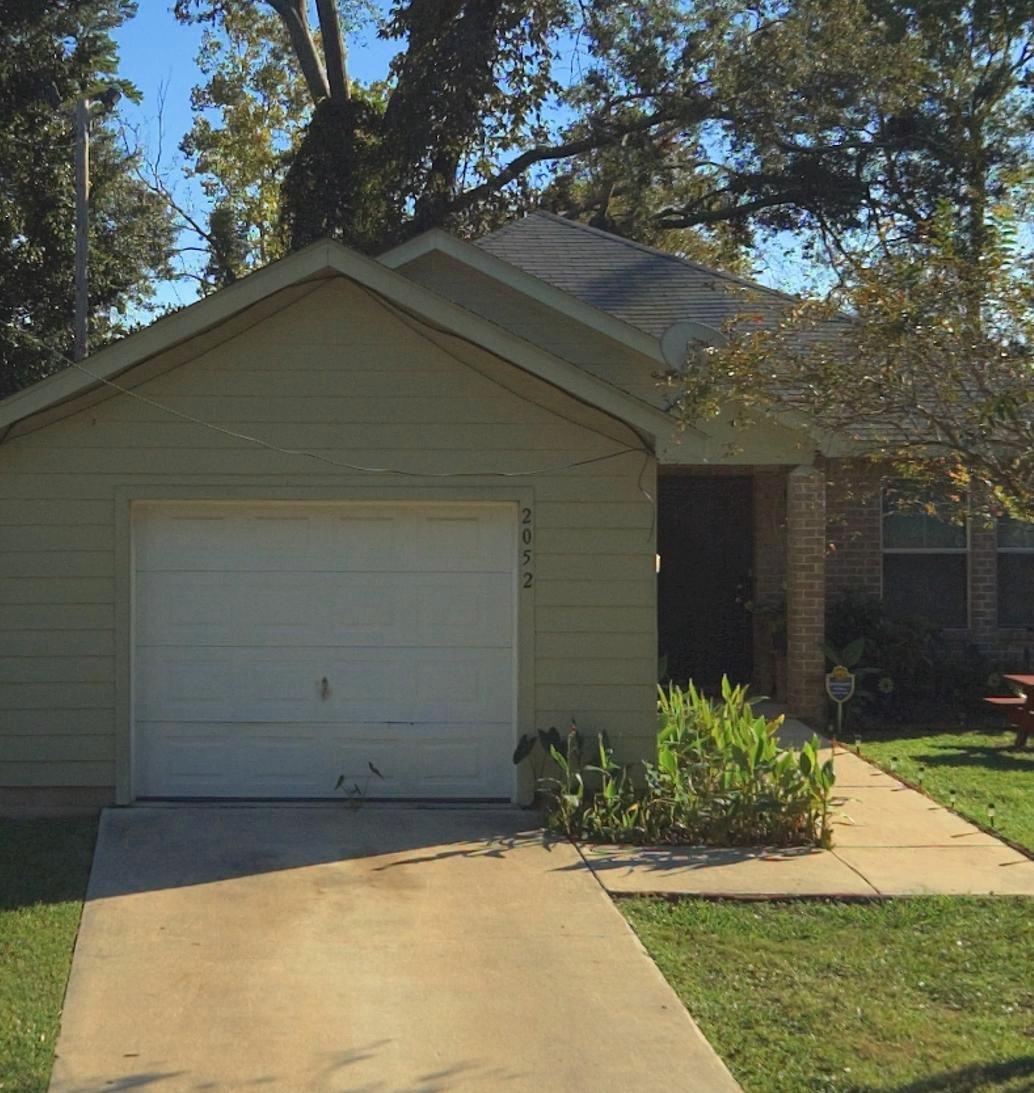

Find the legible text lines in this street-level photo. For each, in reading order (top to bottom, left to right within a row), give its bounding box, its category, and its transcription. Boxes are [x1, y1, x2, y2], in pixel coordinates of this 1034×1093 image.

[521, 505, 534, 590] StreetNumber: 2052